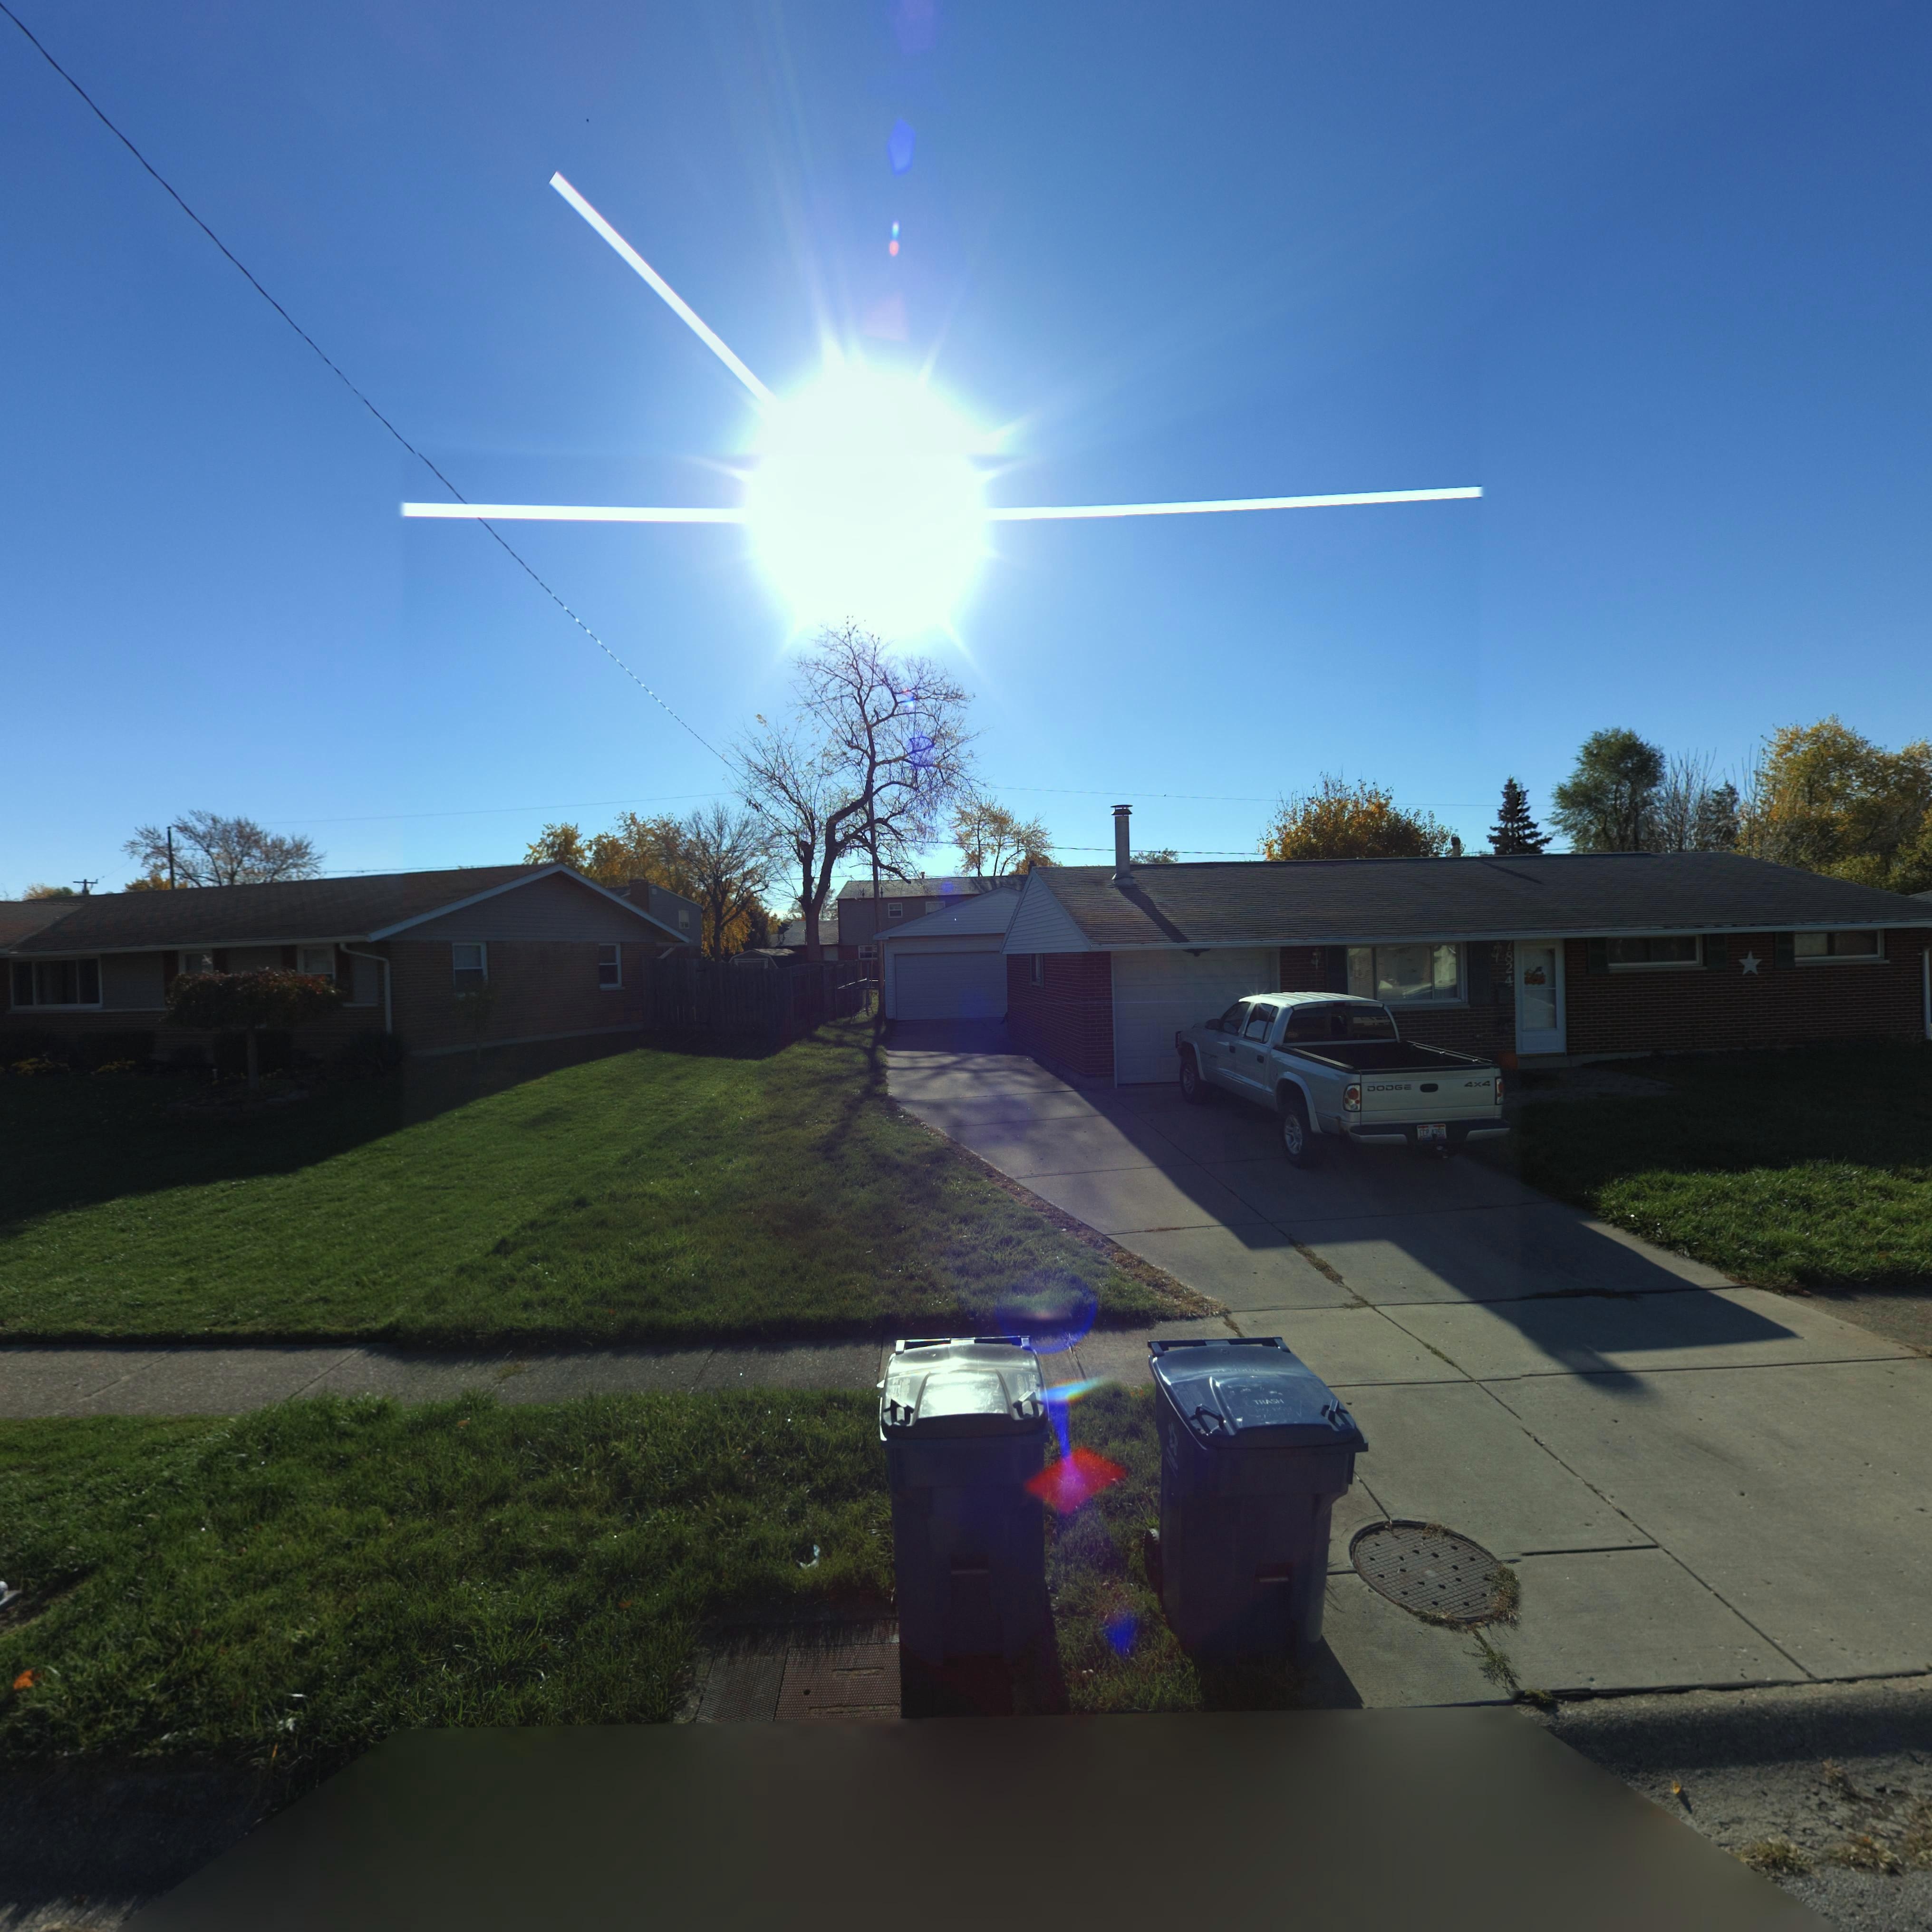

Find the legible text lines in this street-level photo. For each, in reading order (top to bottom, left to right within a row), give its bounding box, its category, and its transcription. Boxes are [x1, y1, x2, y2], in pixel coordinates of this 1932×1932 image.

[1504, 939, 1514, 987] StreetNumber: 7824